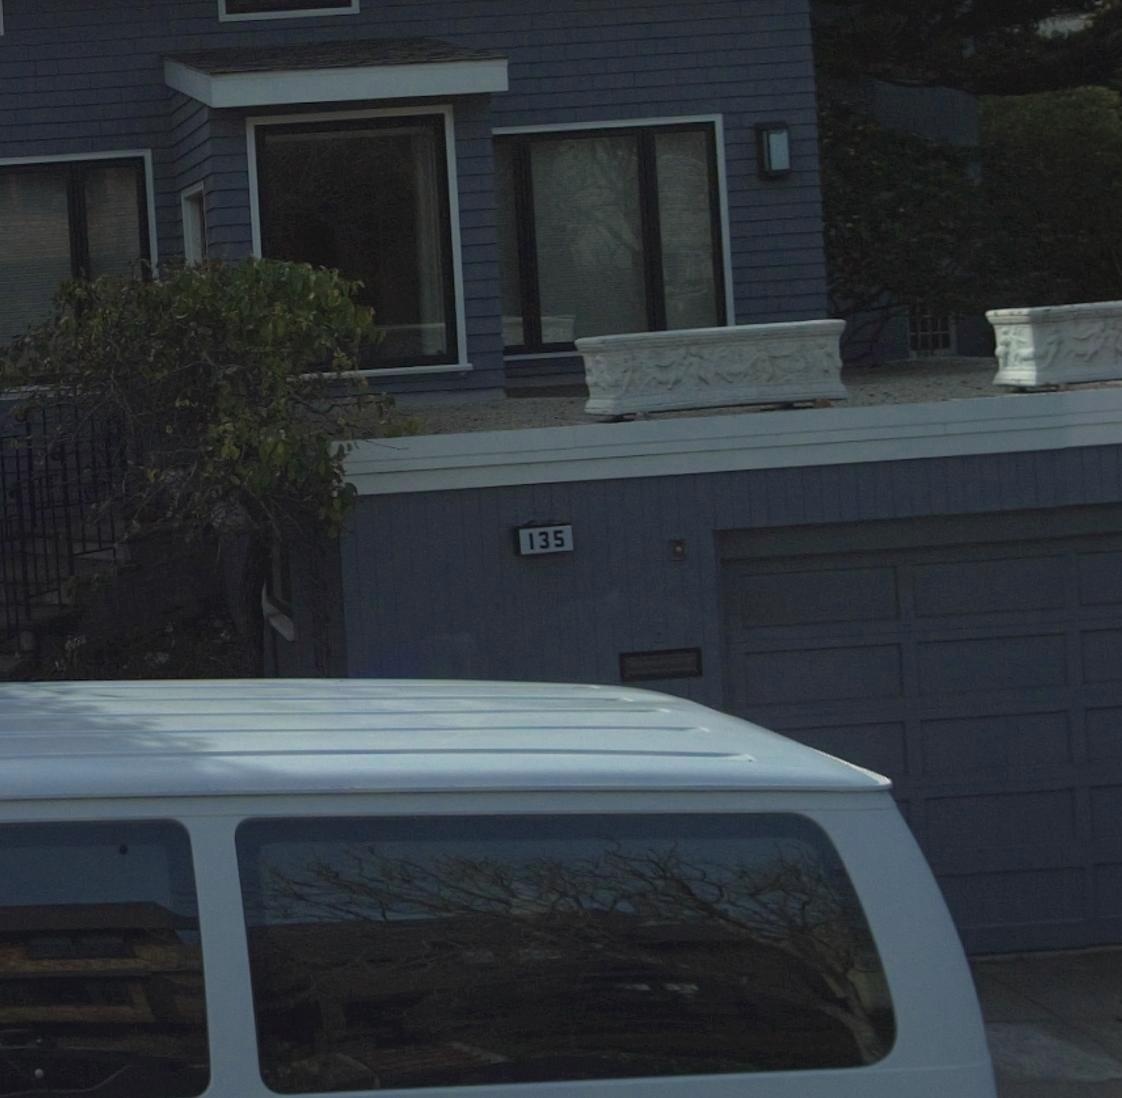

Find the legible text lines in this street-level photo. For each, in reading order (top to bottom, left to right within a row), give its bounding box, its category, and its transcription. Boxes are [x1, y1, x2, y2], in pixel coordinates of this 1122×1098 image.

[526, 529, 567, 551] StreetNumber: 135